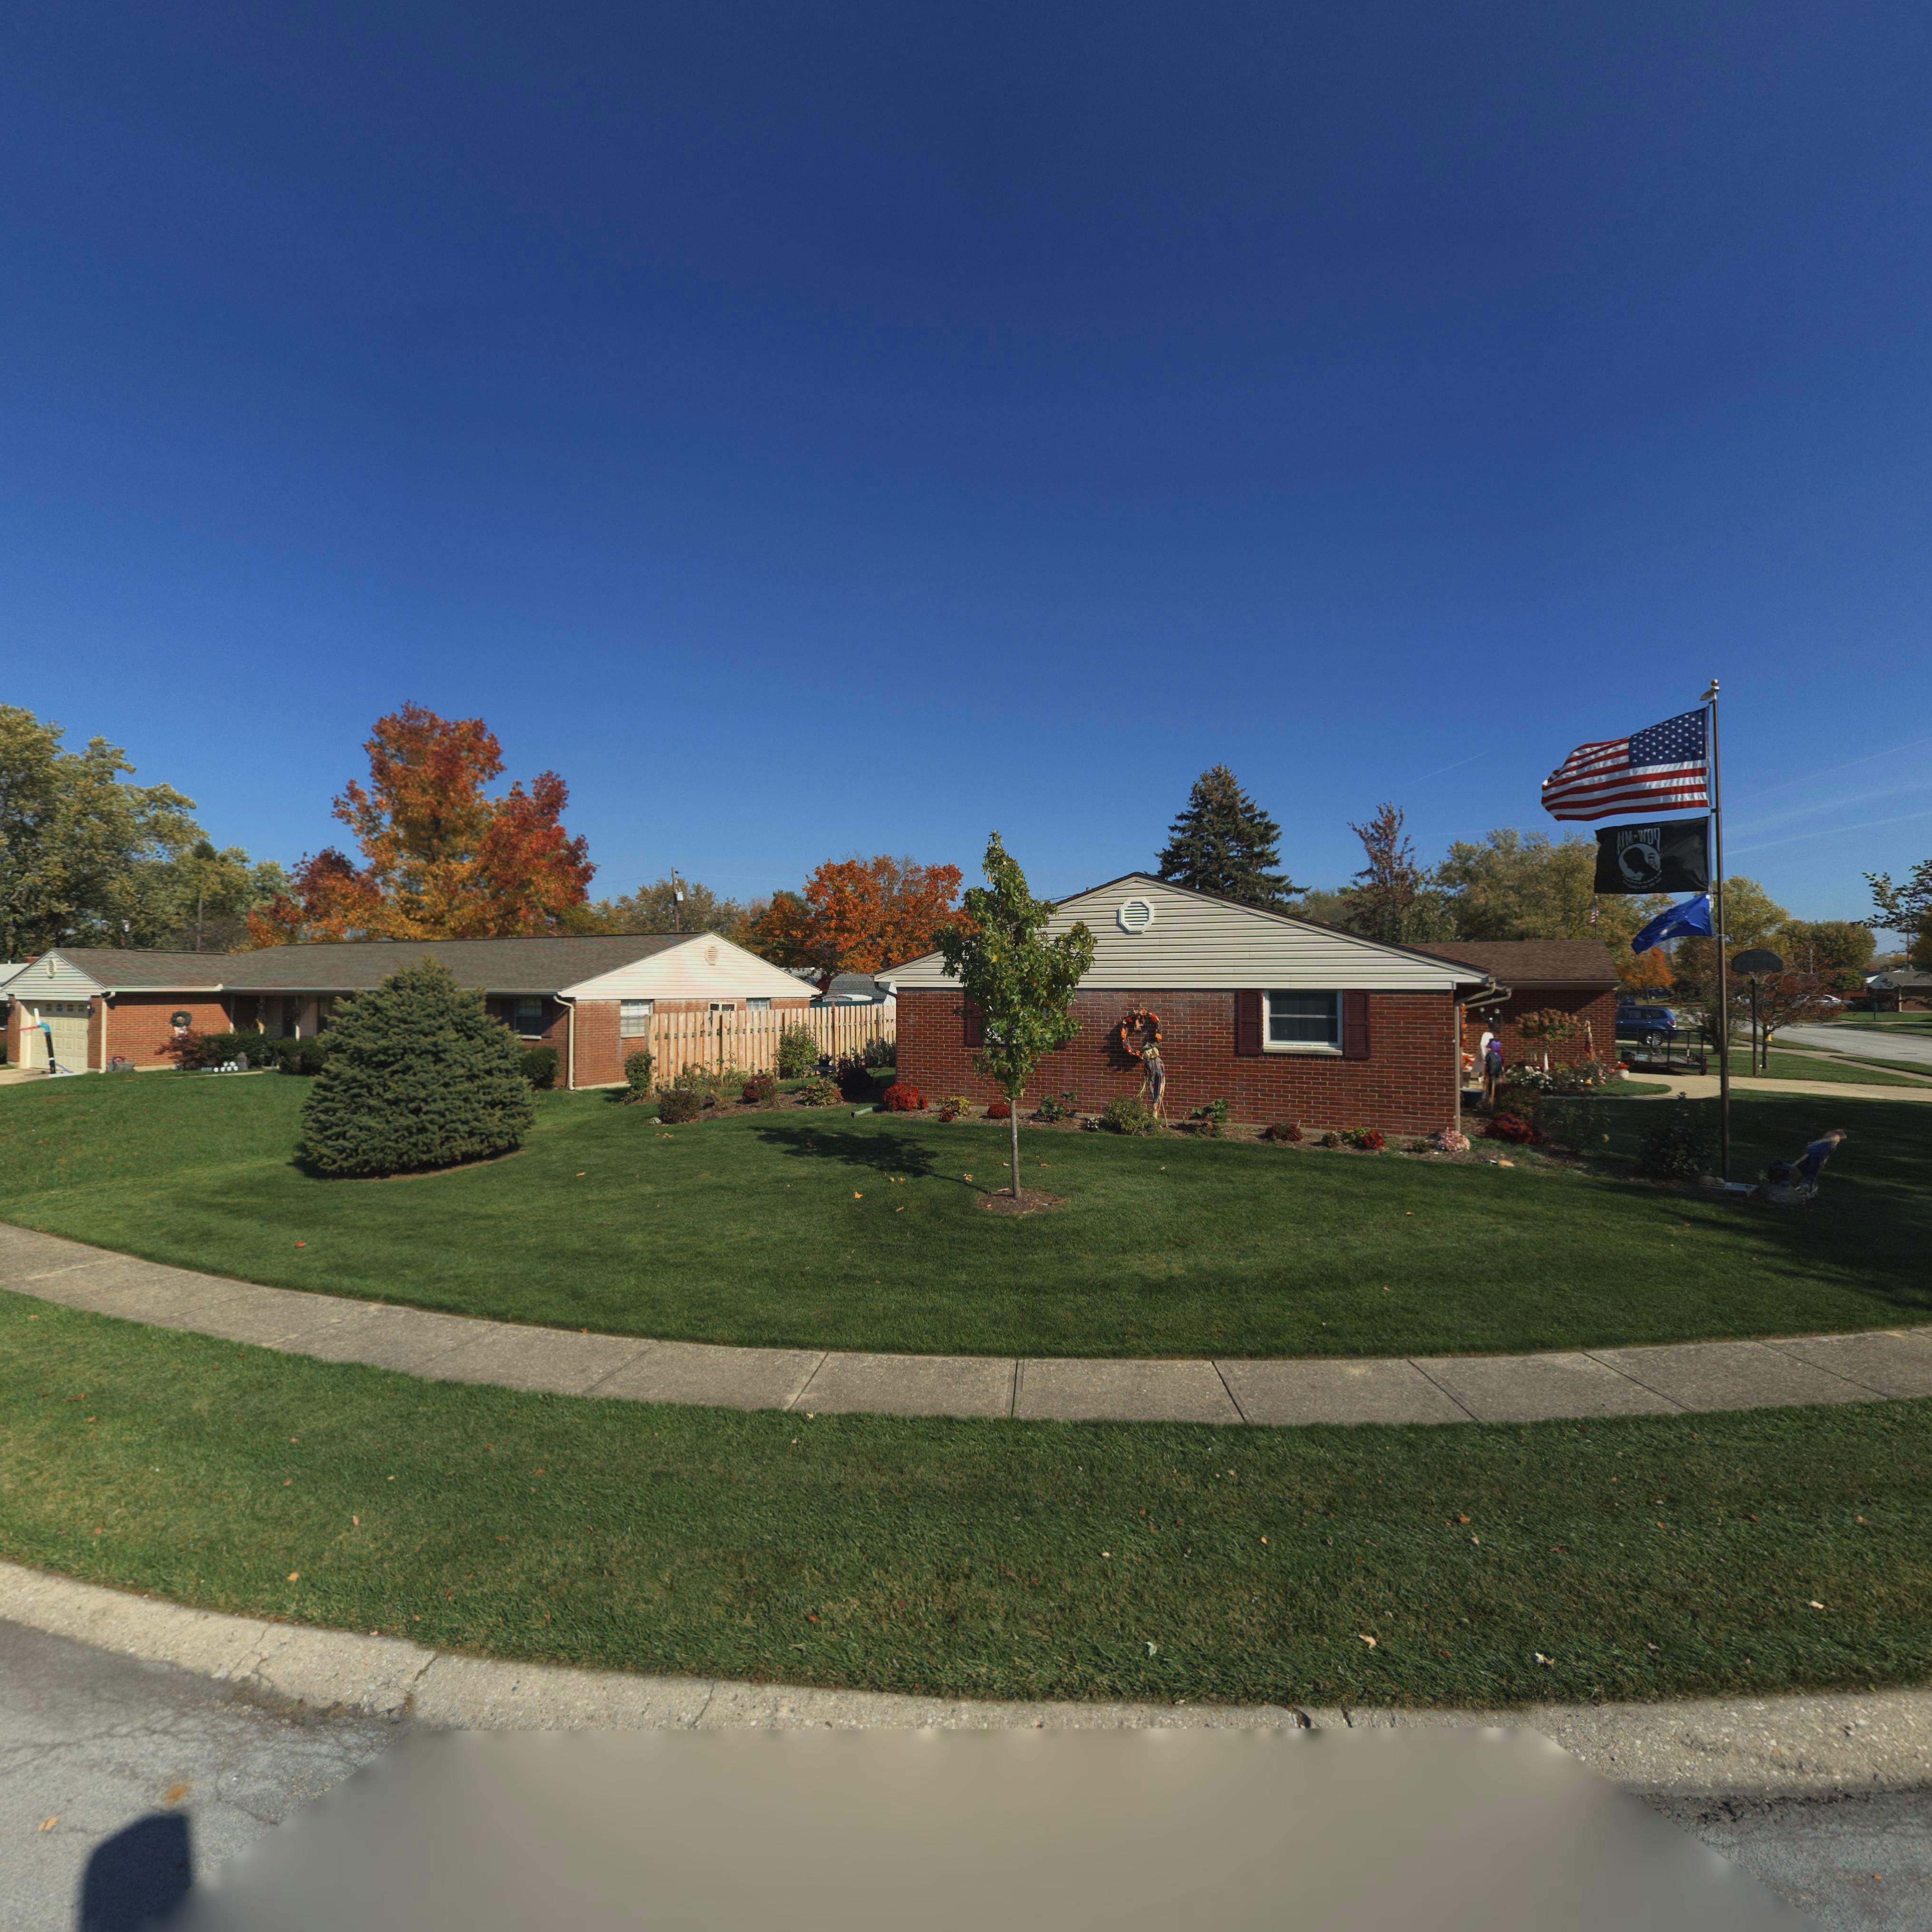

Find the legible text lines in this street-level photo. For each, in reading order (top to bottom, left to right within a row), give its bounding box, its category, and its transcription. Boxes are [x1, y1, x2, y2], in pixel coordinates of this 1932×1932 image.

[1616, 825, 1662, 858] None: AIM-WO*